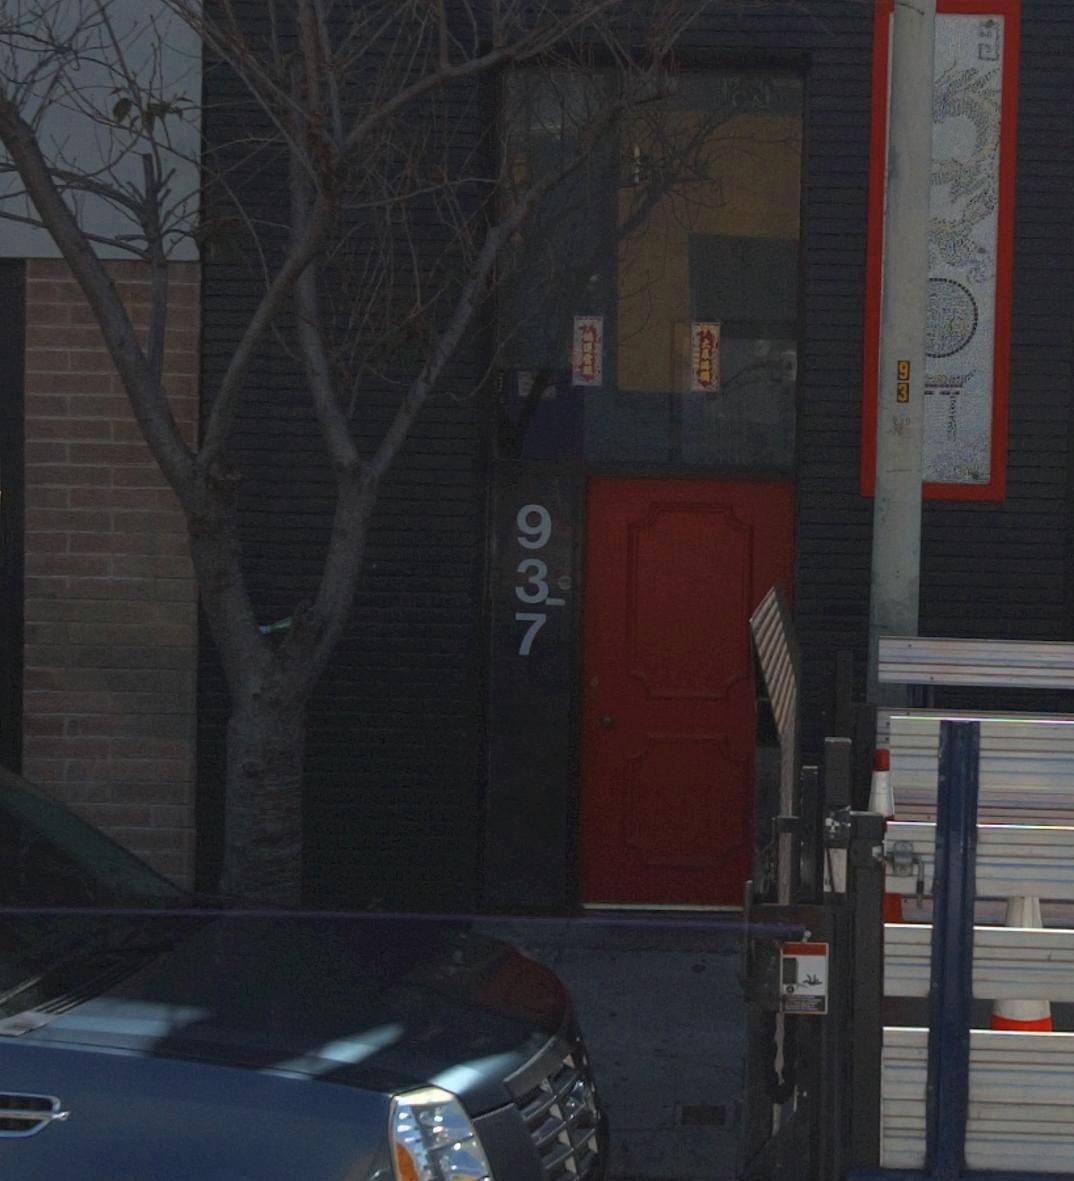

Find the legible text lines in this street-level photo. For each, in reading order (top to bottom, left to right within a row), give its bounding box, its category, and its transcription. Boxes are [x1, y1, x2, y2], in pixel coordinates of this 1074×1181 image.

[897, 360, 909, 402] None: 93
[510, 501, 555, 658] StreetNumber: 937